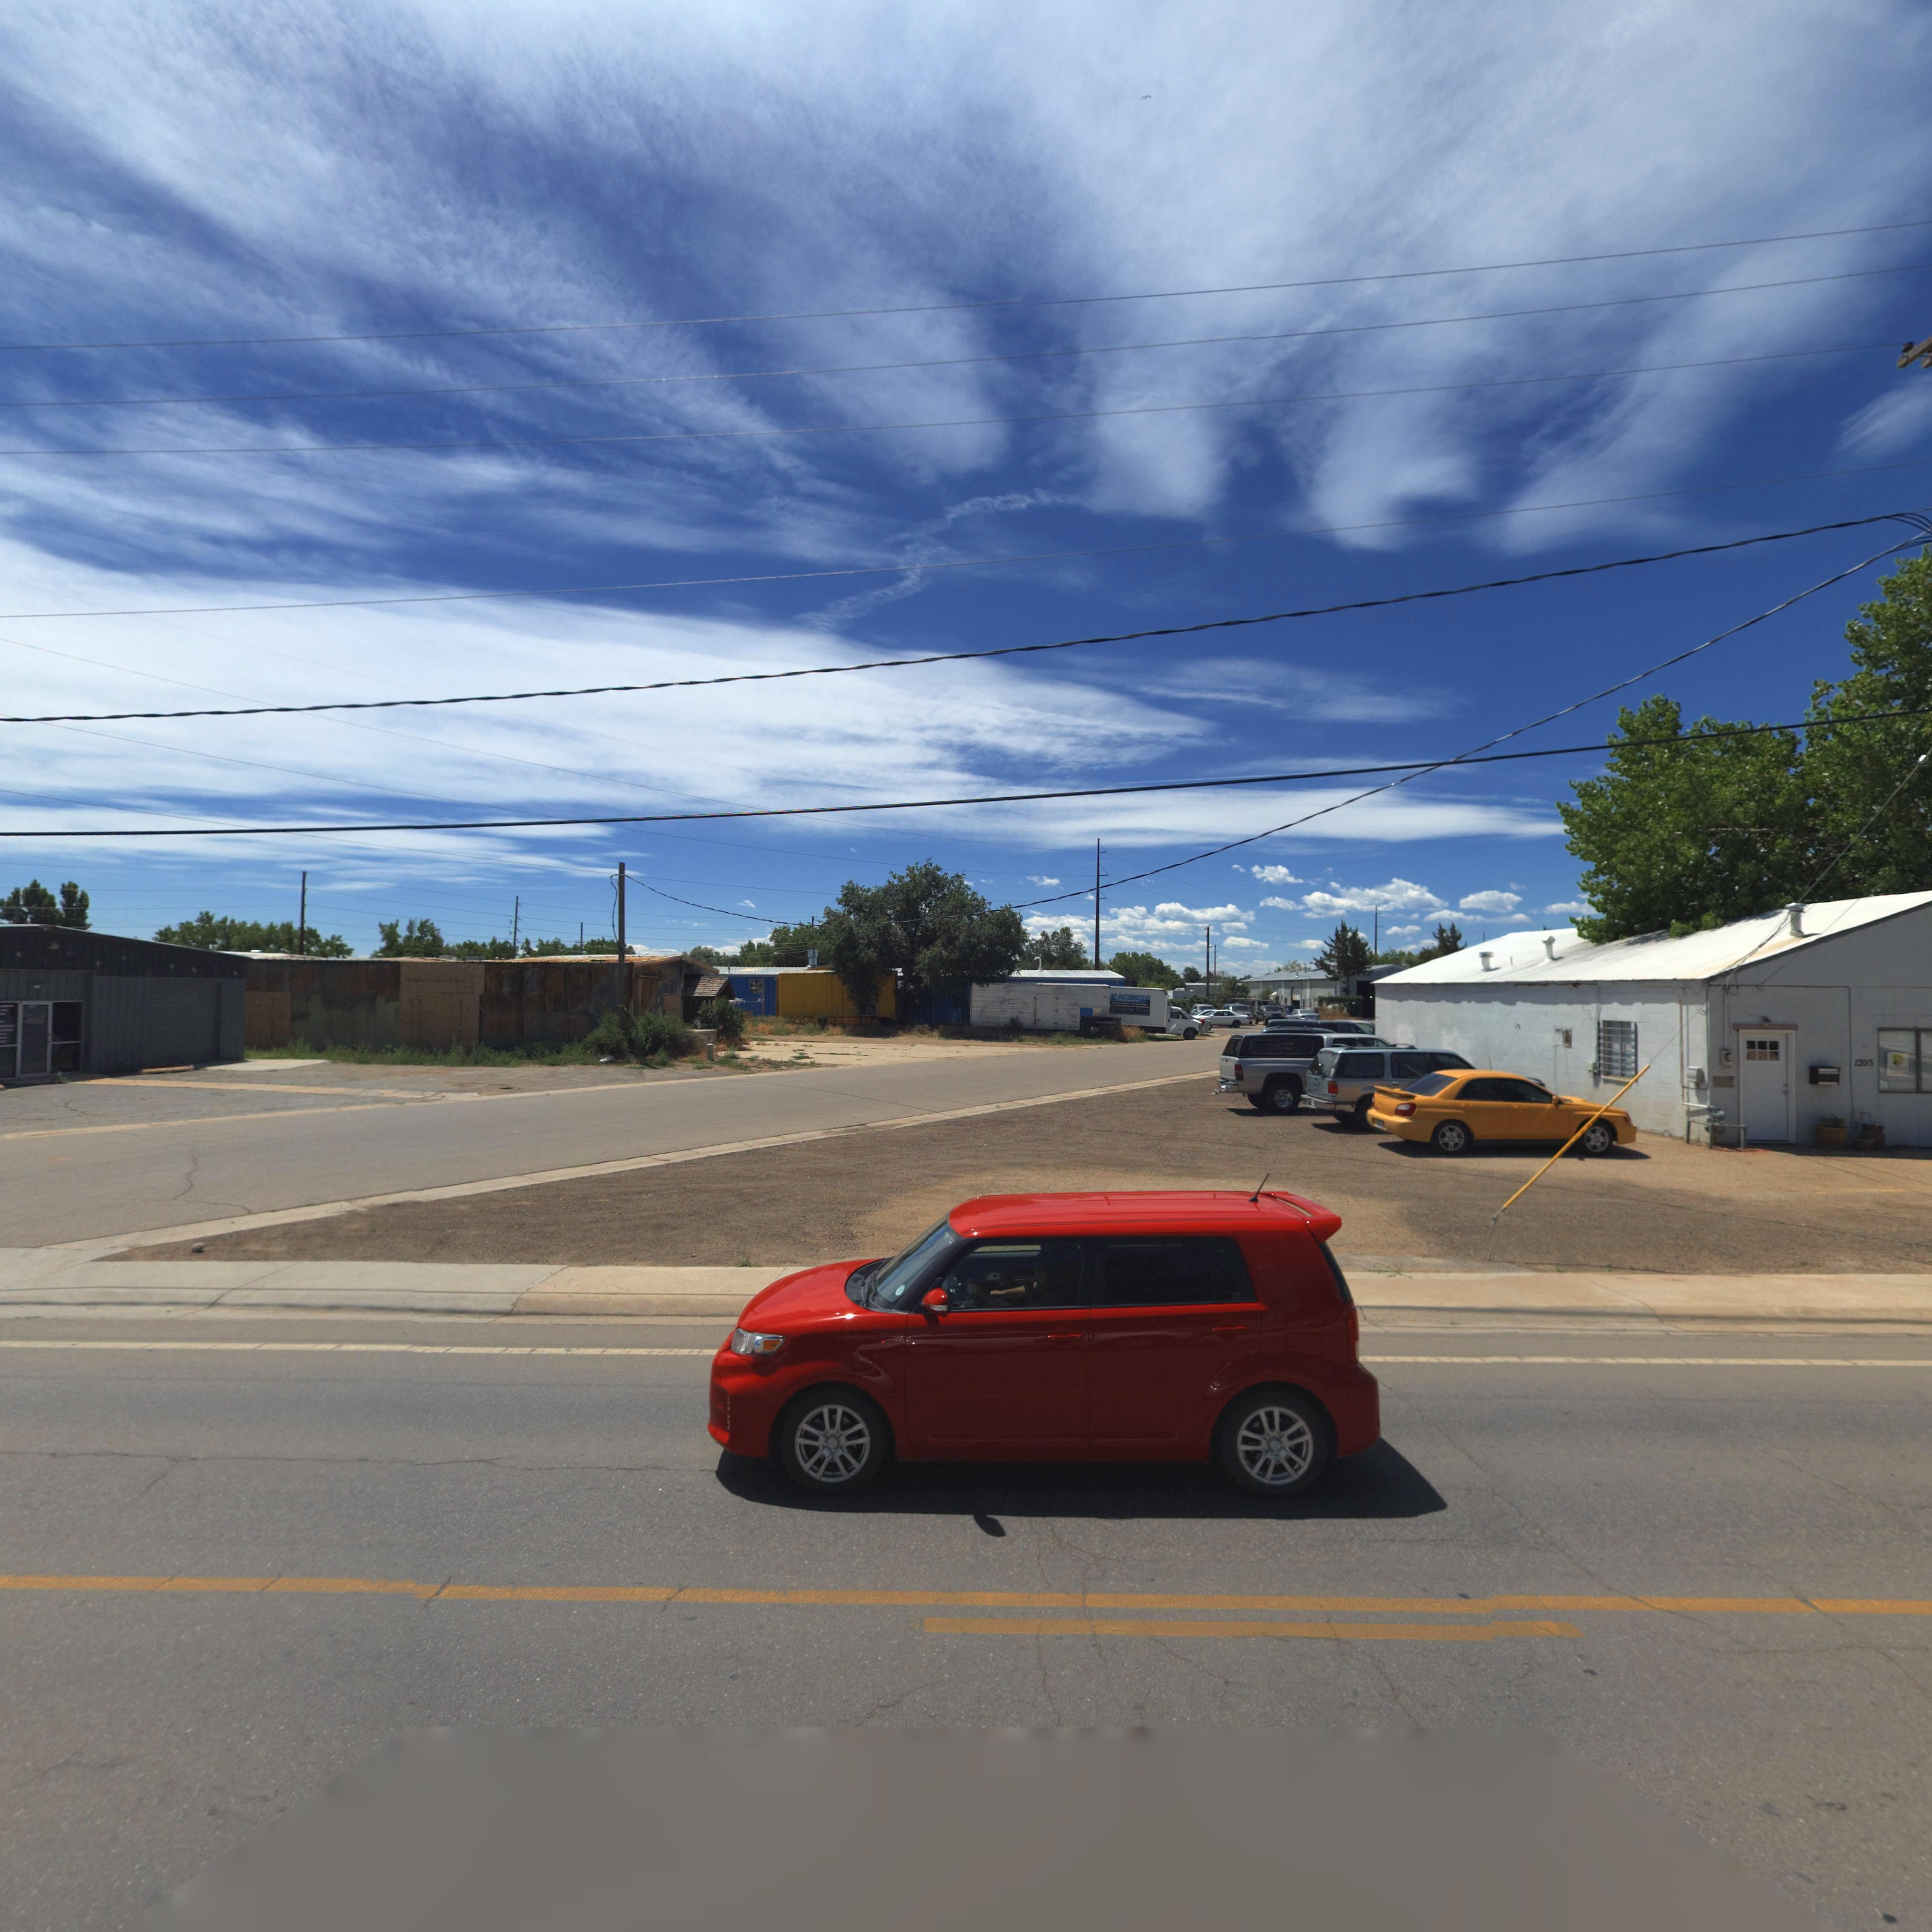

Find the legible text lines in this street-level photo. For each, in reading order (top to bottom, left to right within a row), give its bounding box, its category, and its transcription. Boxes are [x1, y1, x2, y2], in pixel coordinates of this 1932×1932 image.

[1854, 1058, 1874, 1067] StreetNumber: 1205